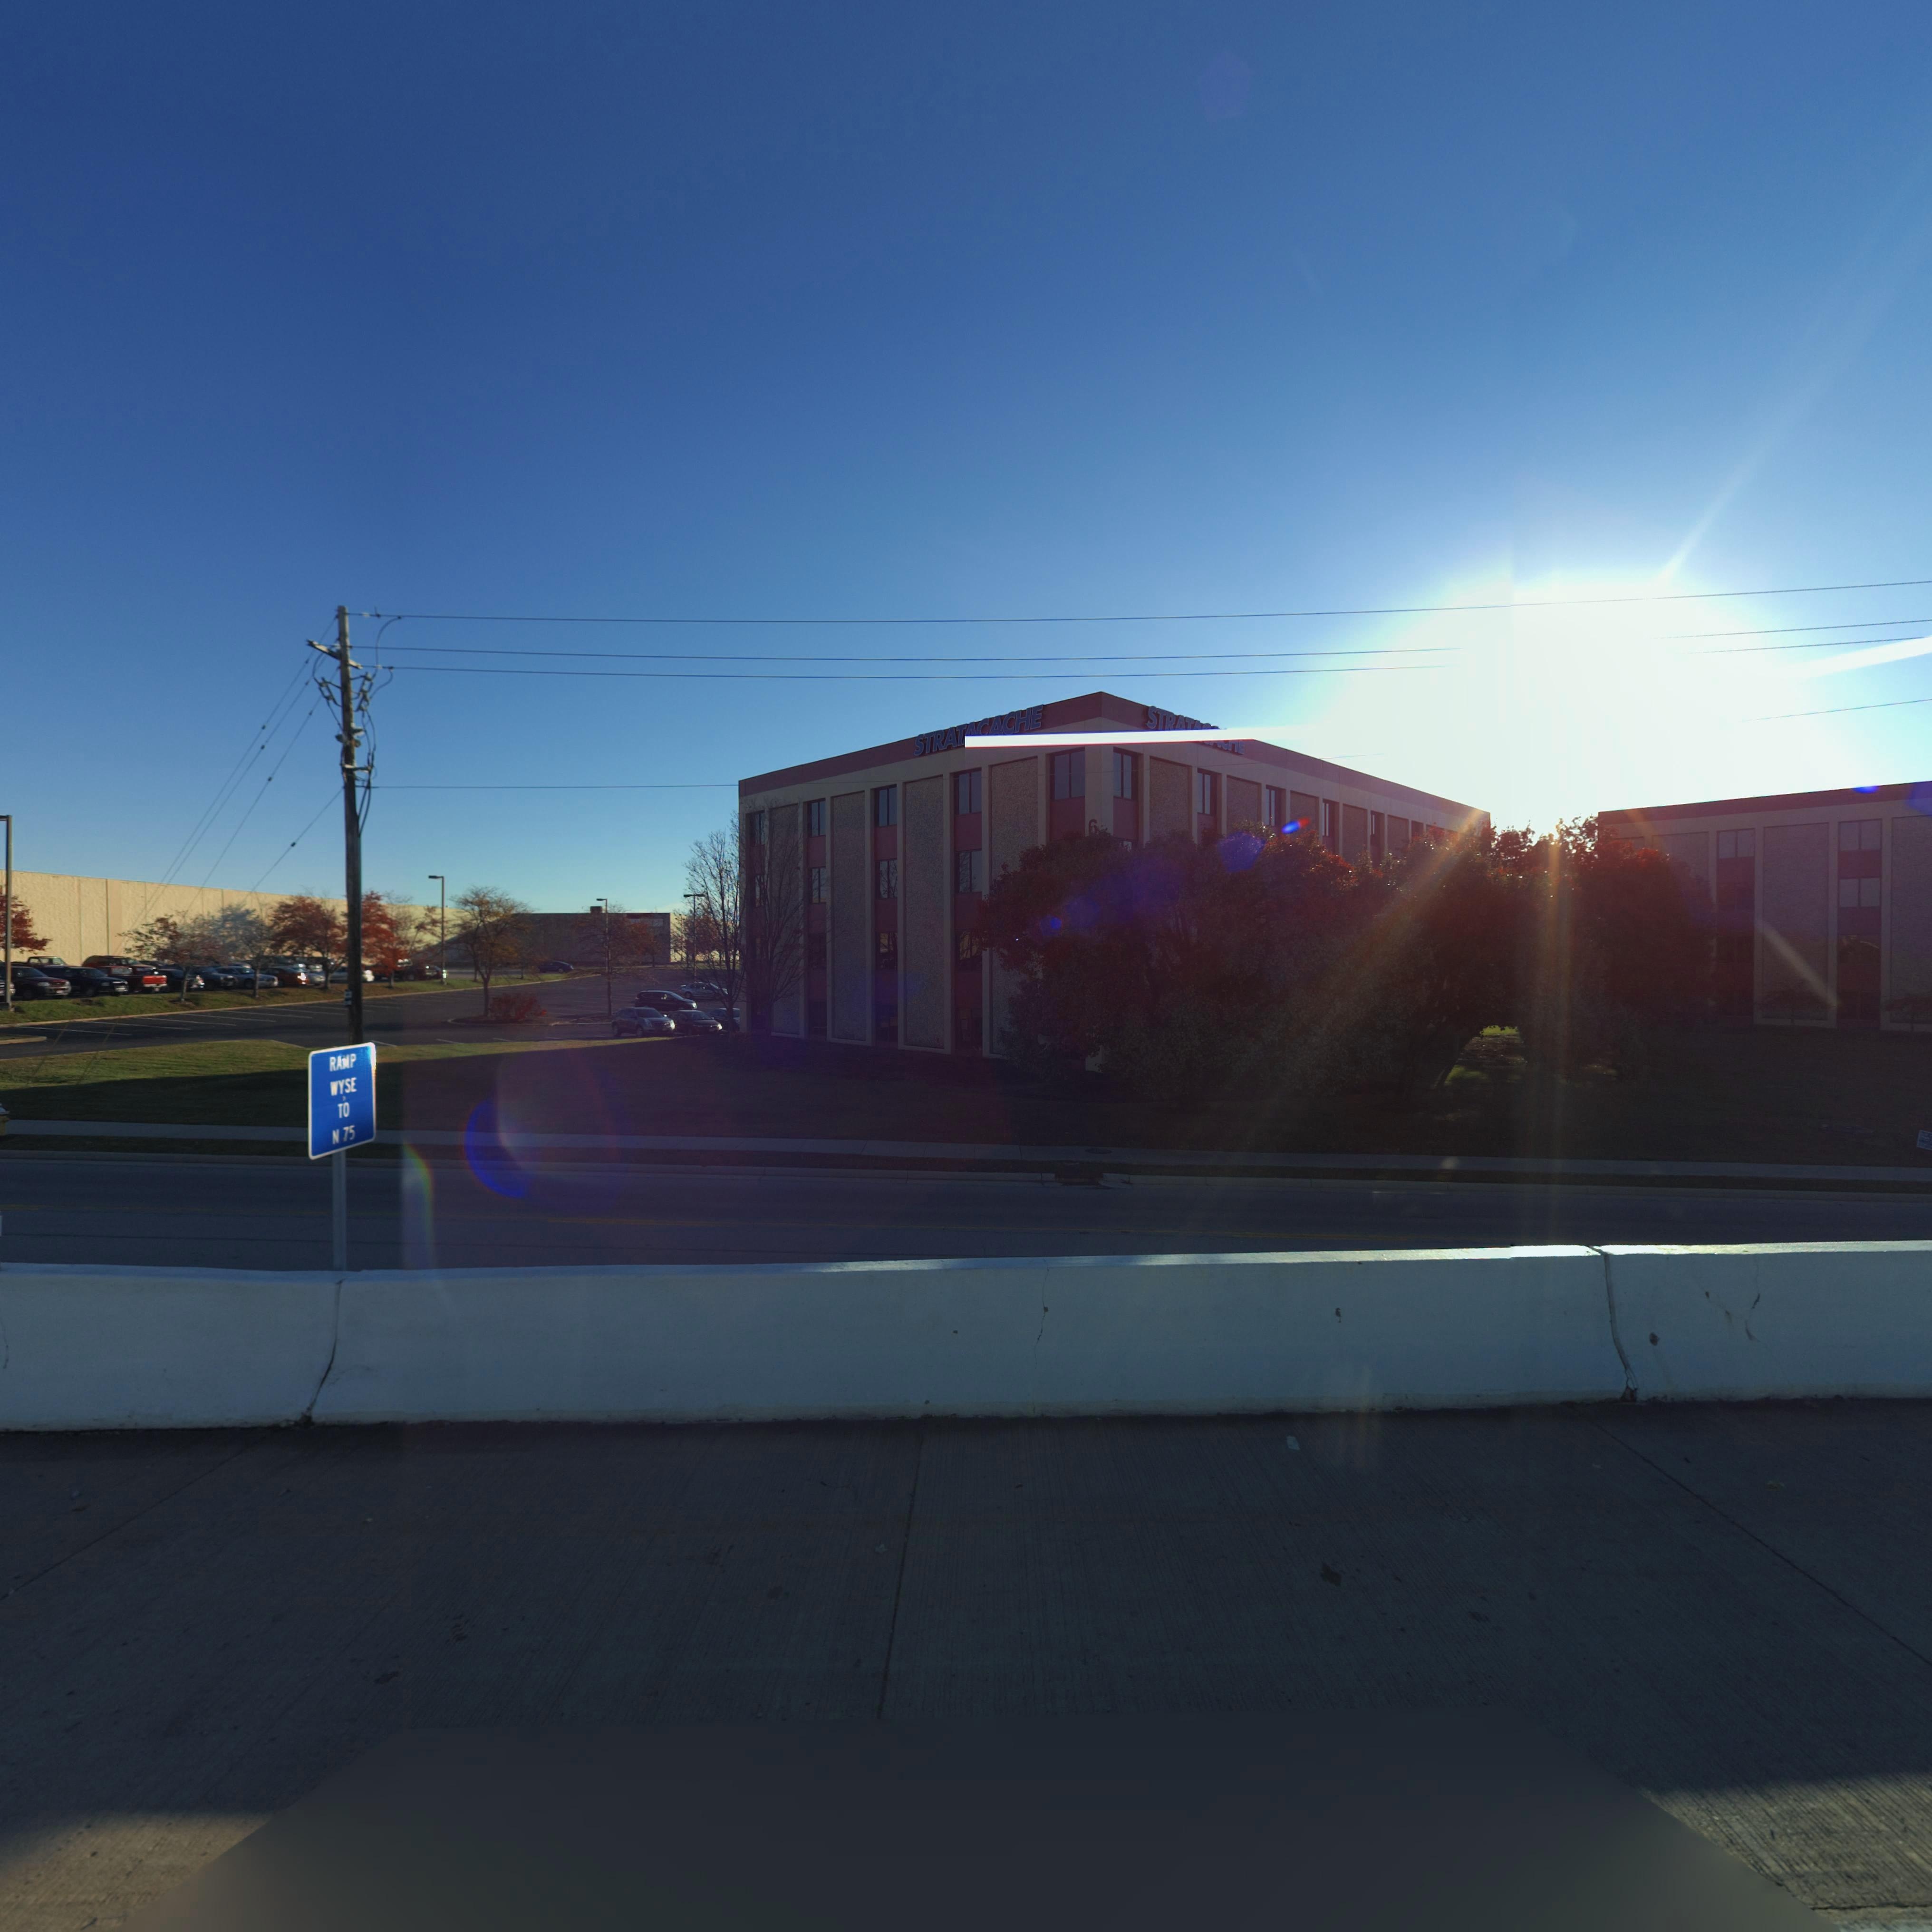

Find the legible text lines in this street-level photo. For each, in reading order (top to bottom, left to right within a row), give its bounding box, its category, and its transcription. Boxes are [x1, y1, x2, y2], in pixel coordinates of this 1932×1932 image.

[913, 704, 1043, 758] BusinessName: STRATACACHE
[1145, 705, 1247, 757] BusinessName: strat******
[1087, 818, 1099, 837] StreetNumber: 6
[325, 1051, 357, 1074] None: RAMP
[328, 1075, 357, 1098] None: WYSE
[335, 1100, 350, 1121] None: TO
[331, 1122, 357, 1147] None: N 75